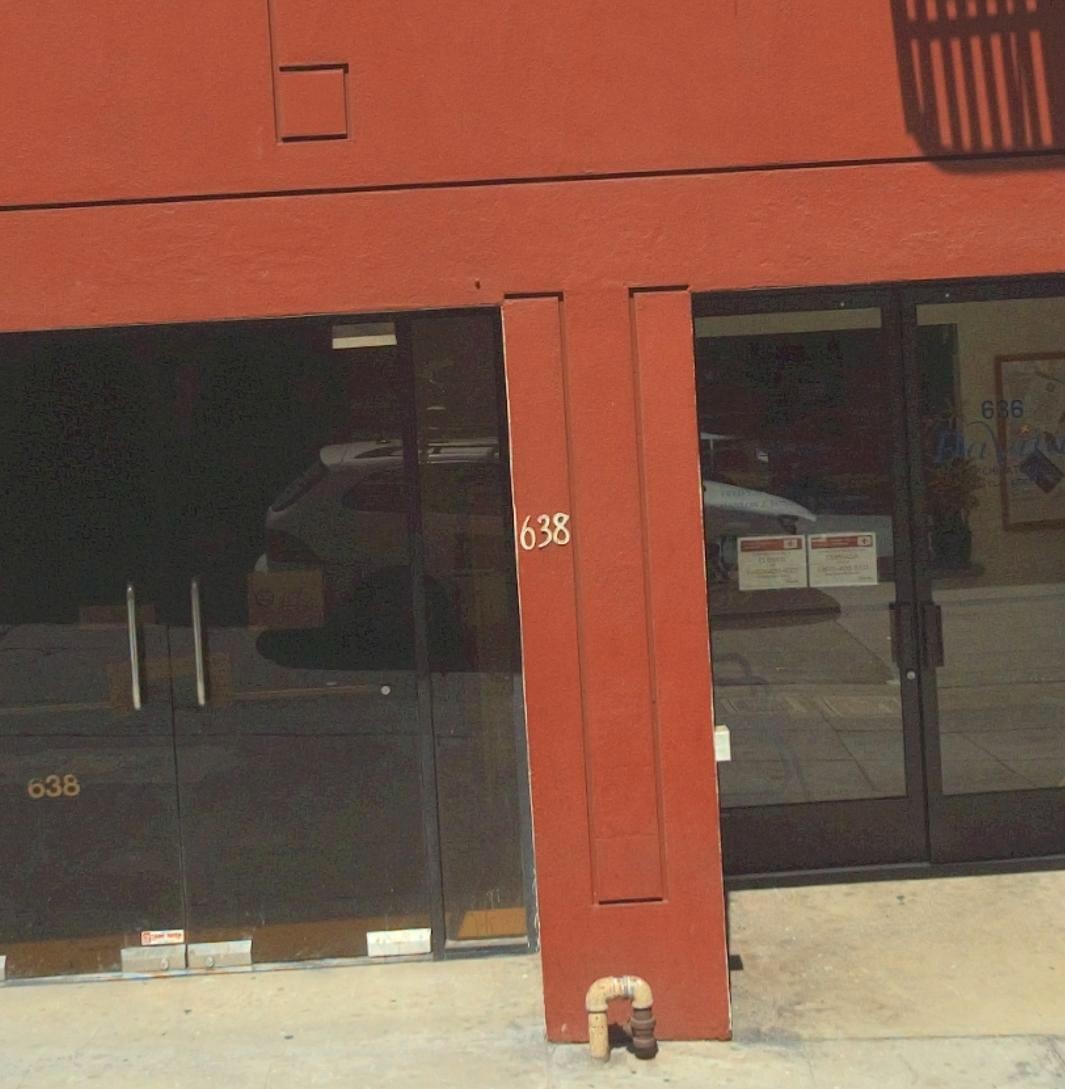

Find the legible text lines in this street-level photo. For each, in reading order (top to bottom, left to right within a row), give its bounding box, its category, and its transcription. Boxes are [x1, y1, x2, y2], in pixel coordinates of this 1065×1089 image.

[980, 397, 1025, 420] StreetNumber: 636
[517, 508, 572, 555] StreetNumber: 638
[24, 770, 83, 801] StreetNumber: 638